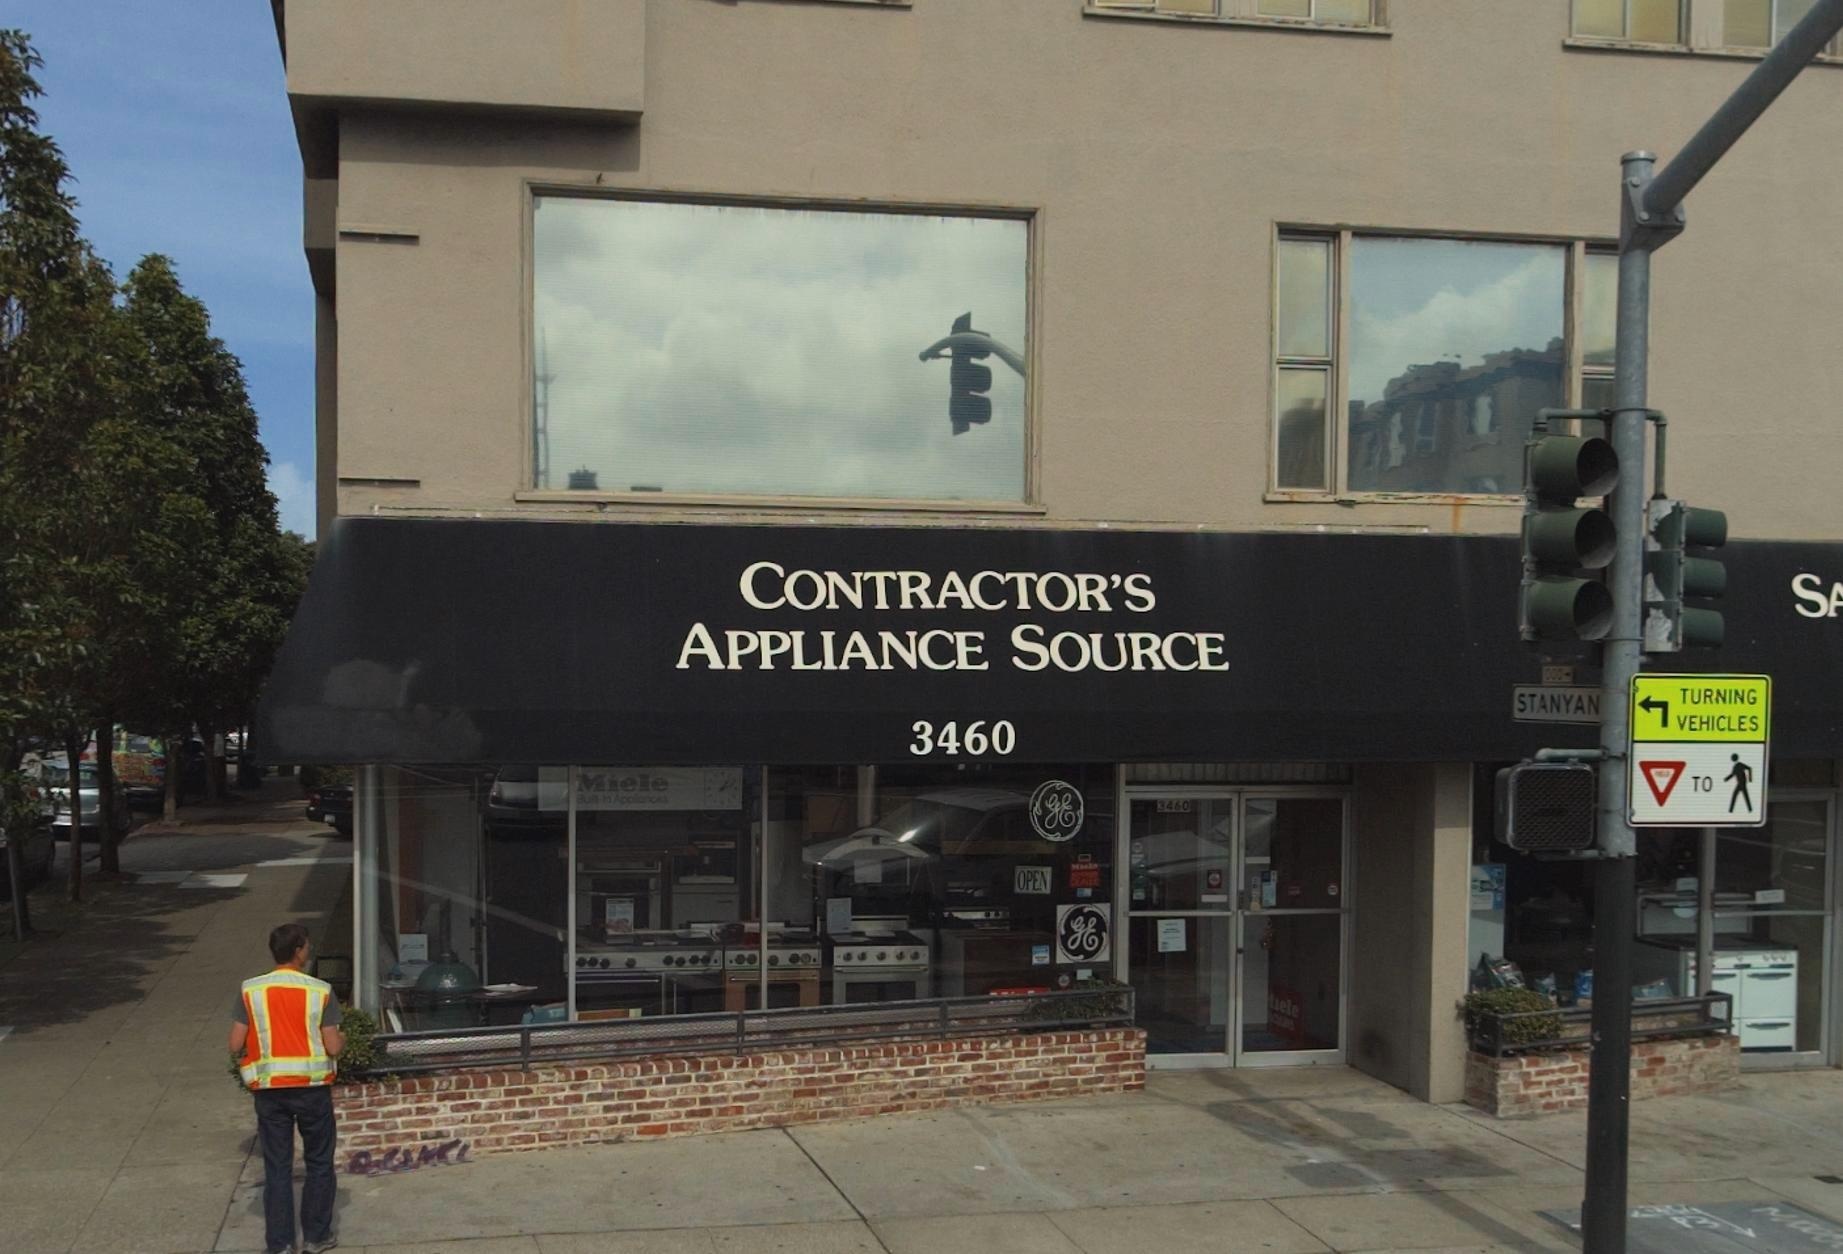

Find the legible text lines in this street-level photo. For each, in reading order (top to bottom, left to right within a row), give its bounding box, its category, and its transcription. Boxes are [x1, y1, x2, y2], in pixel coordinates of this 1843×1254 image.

[737, 558, 1159, 614] BusinessName: CONTRACTOR'S
[1782, 568, 1834, 623] BusinessName: S
[670, 619, 1233, 675] BusinessName: APPLICANCE SOURCE
[1515, 690, 1602, 718] StreetName: STANYAN
[1677, 685, 1761, 708] None: TURNING
[905, 715, 1022, 760] StreetNumber: 3460
[1675, 713, 1762, 735] None: VEHICLES
[573, 771, 673, 794] None: Miele
[1688, 773, 1715, 795] None: TO
[575, 790, 670, 808] None: Built-in Applicances
[1042, 789, 1078, 833] None: GE
[1155, 798, 1192, 813] StreetNumber: 3460
[1015, 867, 1050, 893] None: OPEN
[1064, 913, 1101, 954] None: GE
[1271, 993, 1301, 1023] None: iele
[1664, 1213, 1725, 1234] None: P3